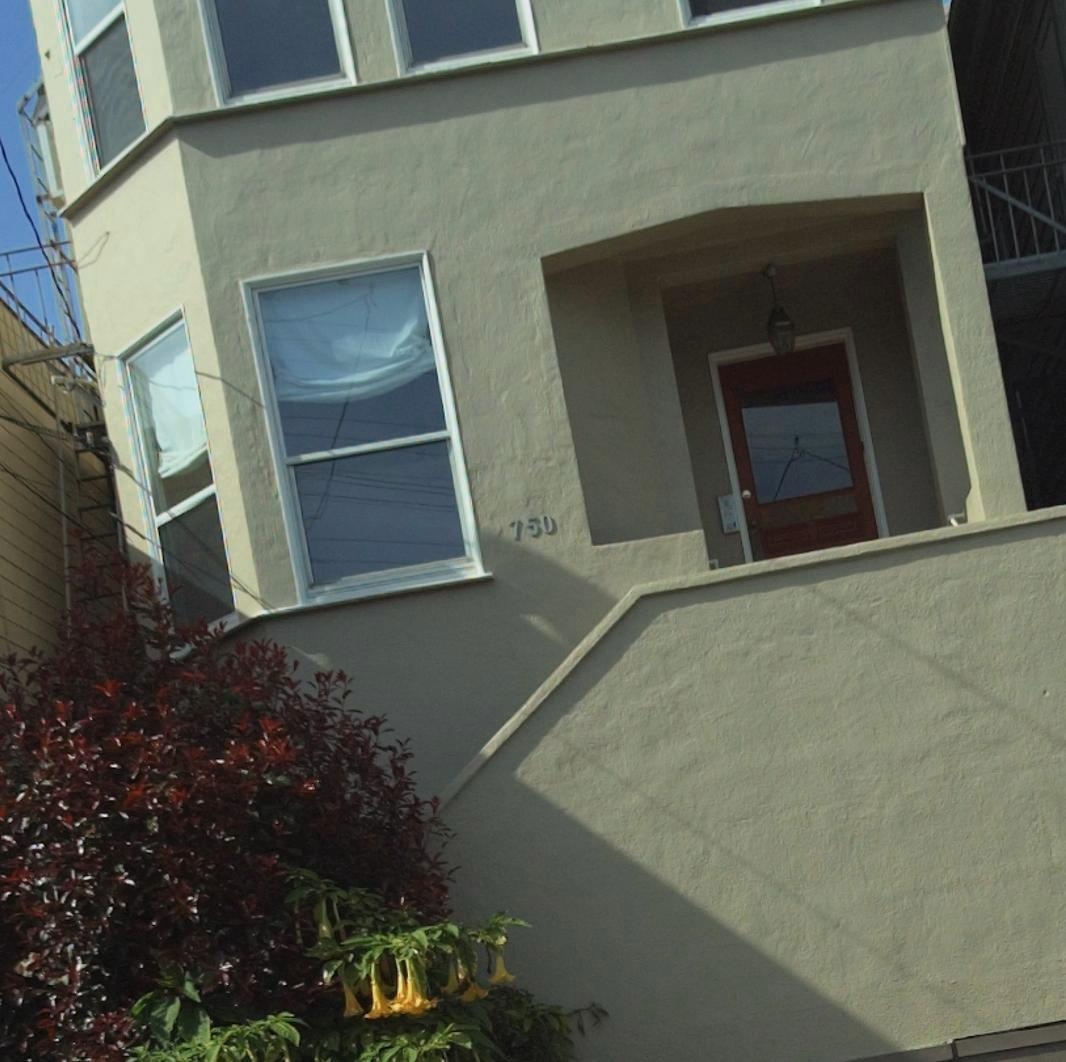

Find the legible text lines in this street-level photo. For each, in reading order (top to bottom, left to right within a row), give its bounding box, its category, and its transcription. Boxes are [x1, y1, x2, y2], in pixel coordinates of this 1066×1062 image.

[505, 510, 559, 545] StreetNumber: 750